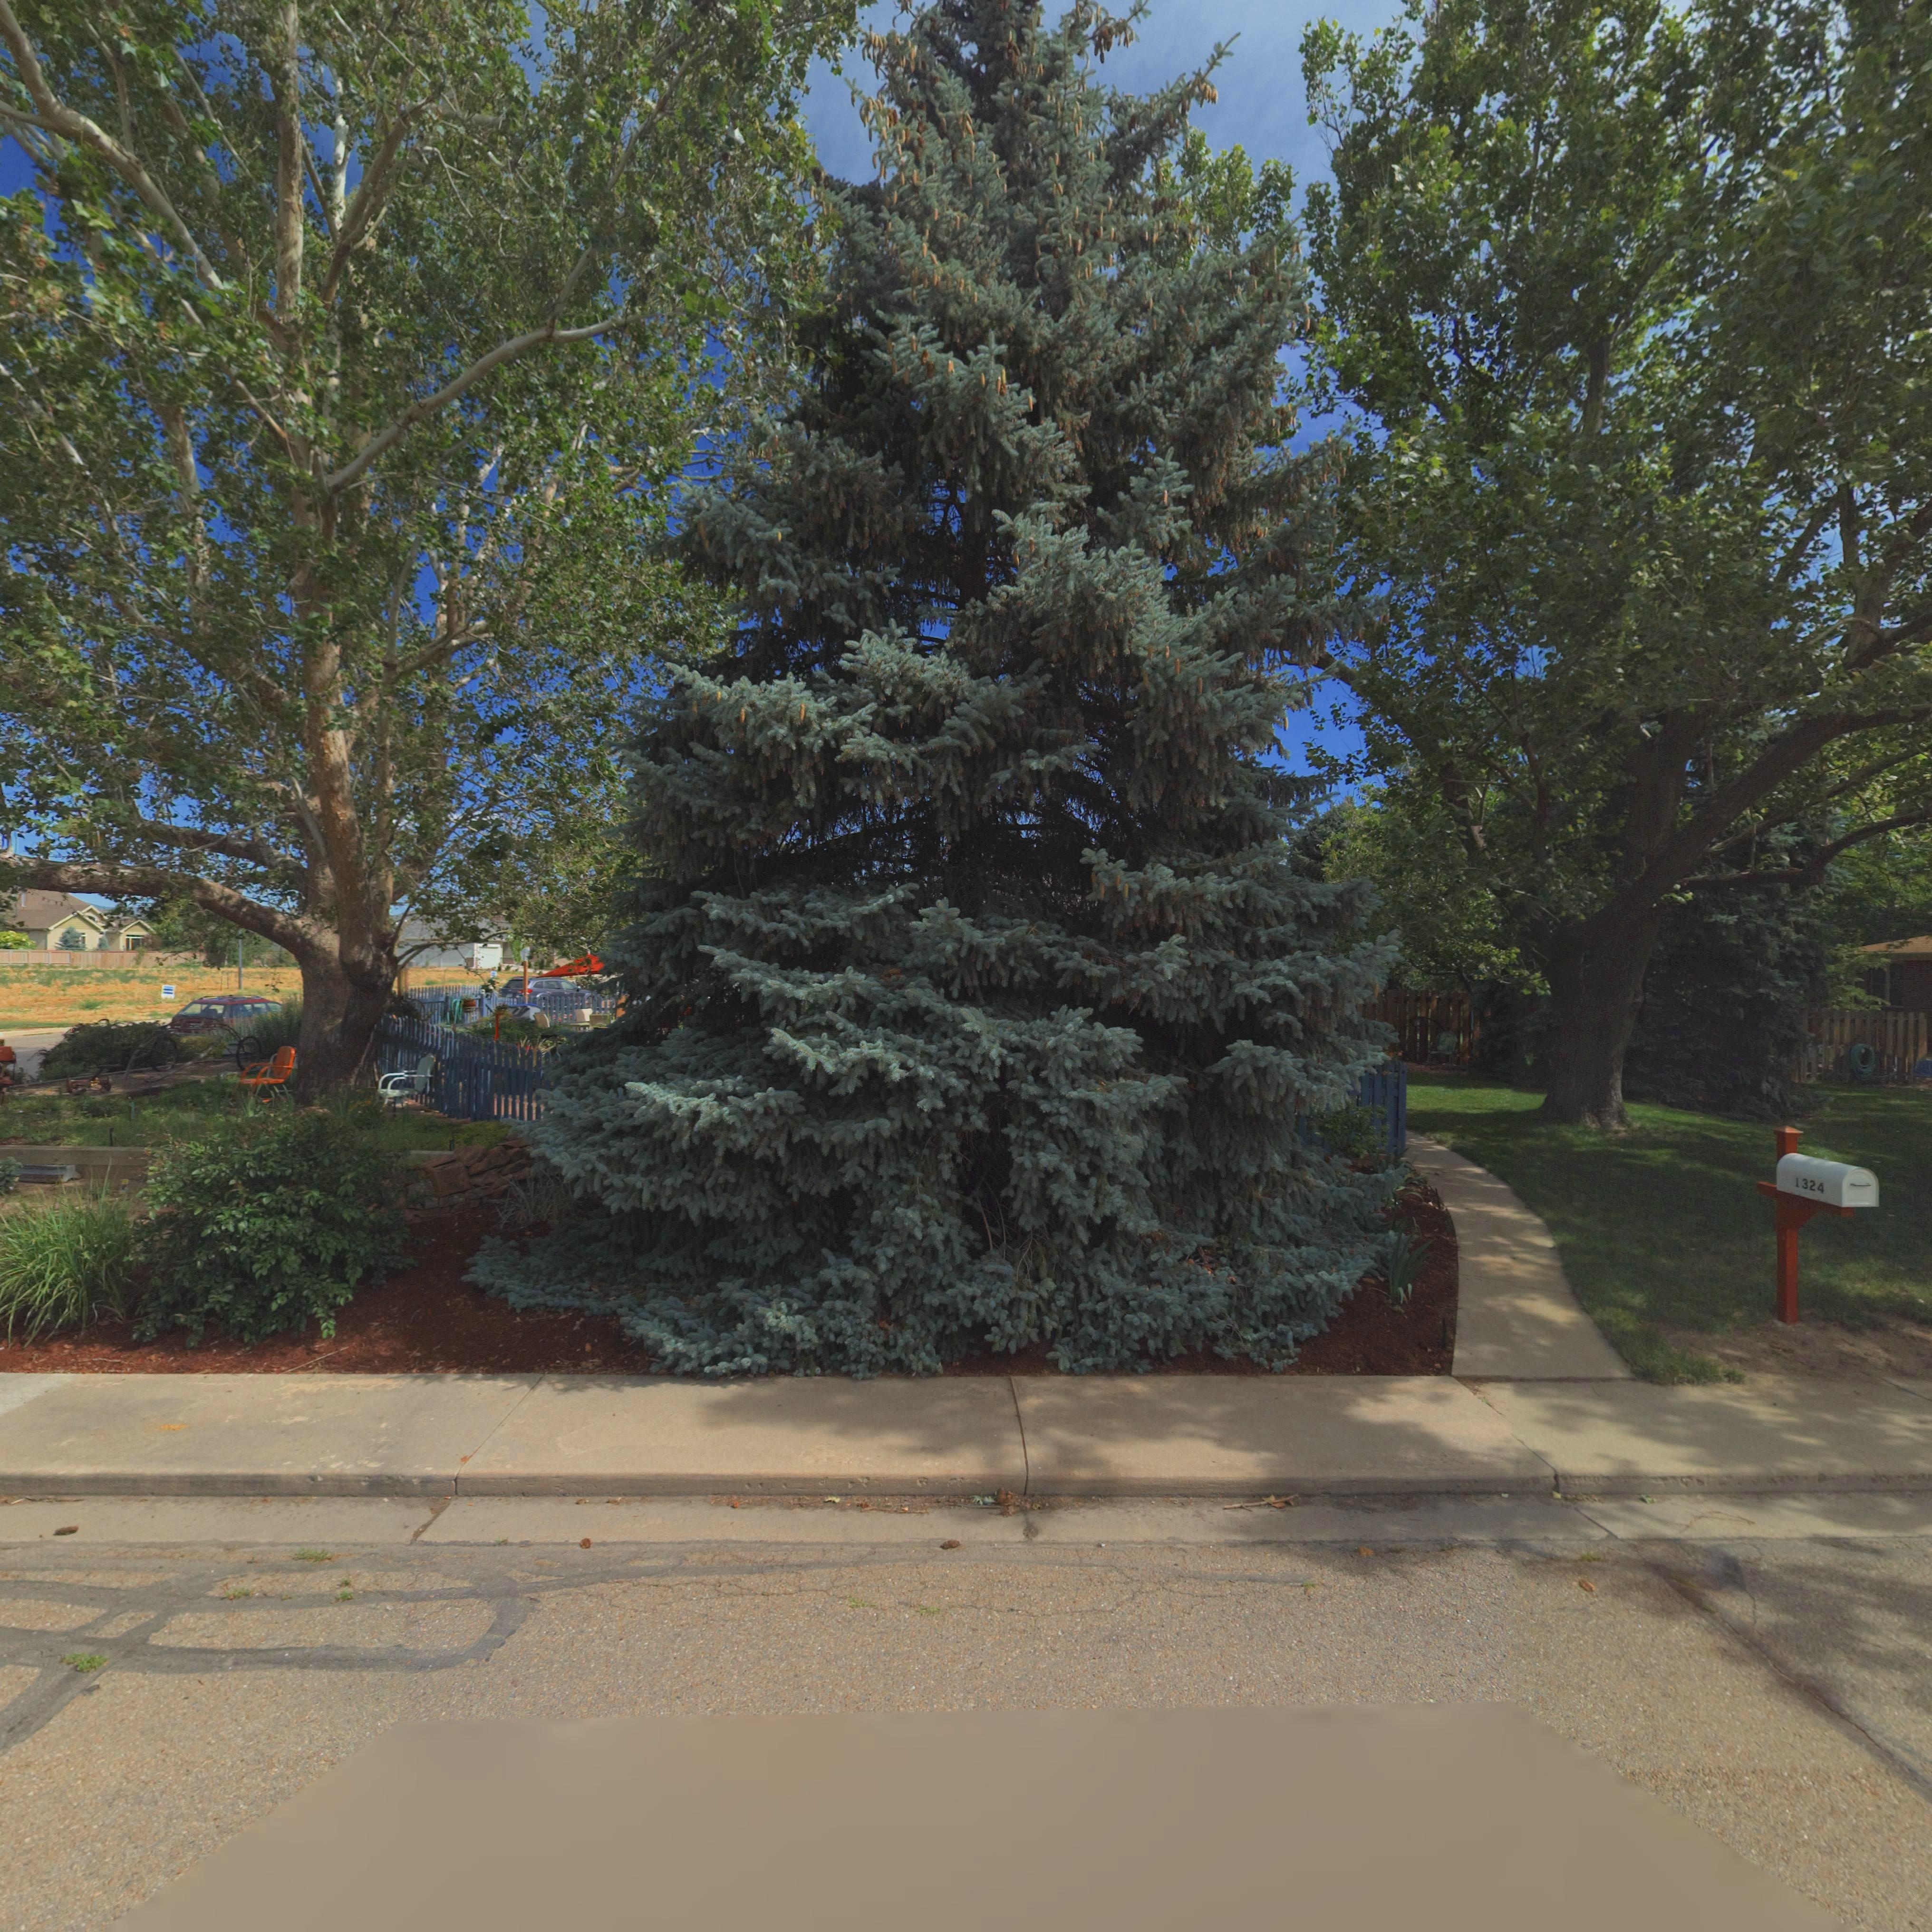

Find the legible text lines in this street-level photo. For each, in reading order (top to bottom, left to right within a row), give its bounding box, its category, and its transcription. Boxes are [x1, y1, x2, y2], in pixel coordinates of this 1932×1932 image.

[1795, 1176, 1825, 1194] StreetNumber: 1324